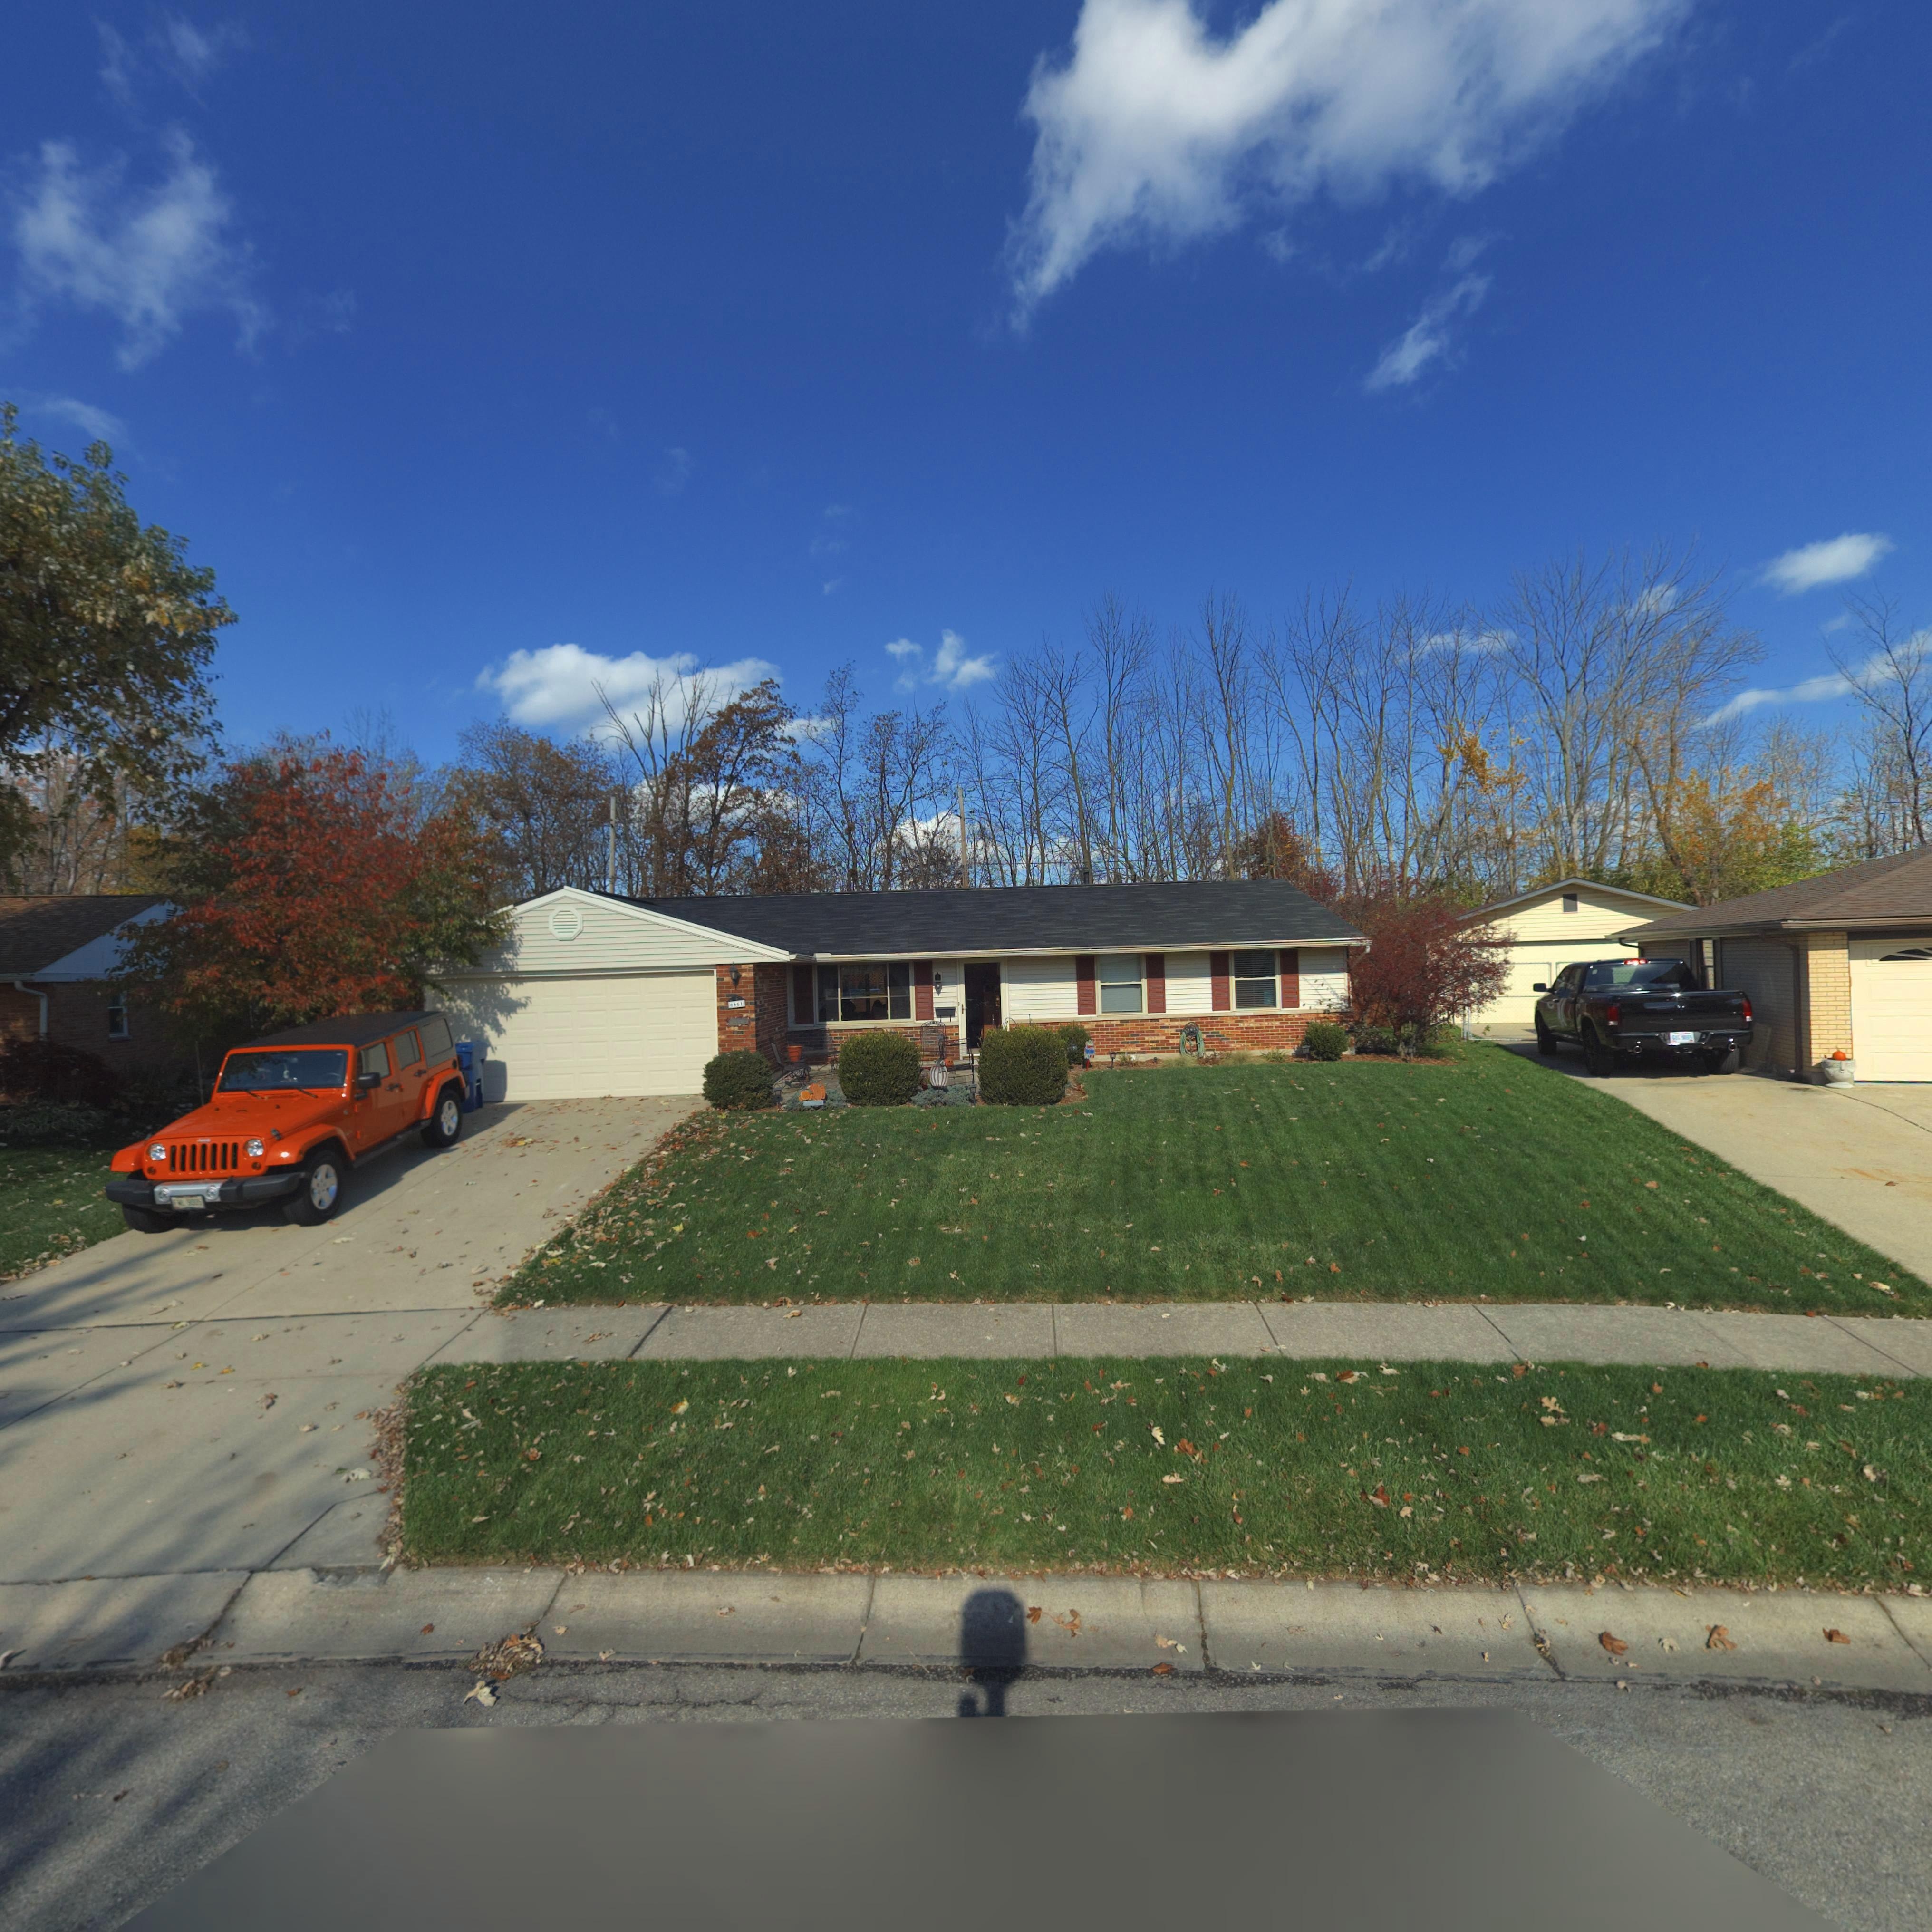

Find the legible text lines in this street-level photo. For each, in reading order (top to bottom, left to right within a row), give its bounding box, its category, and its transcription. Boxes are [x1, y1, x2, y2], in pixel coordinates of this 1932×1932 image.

[729, 1001, 744, 1007] StreetNumber: 6661